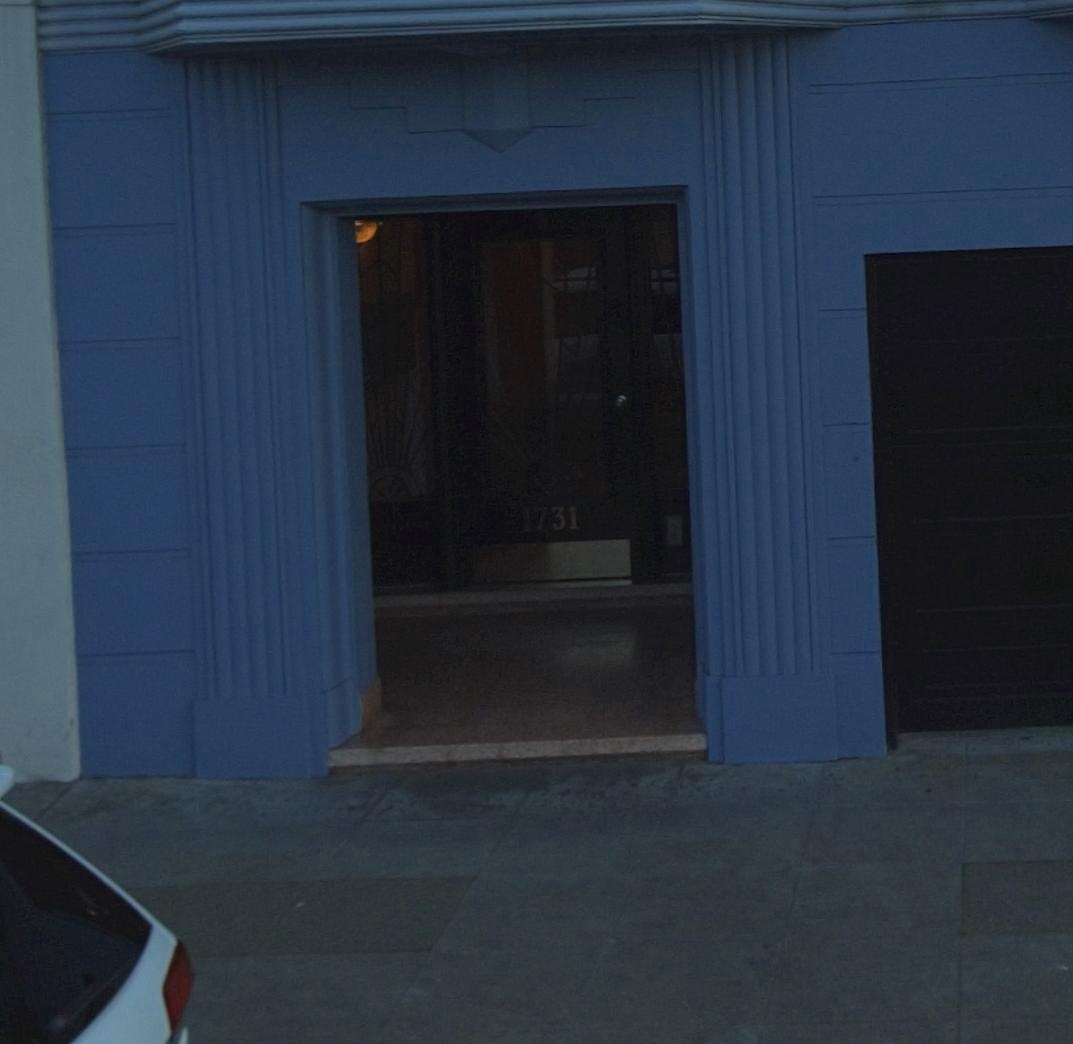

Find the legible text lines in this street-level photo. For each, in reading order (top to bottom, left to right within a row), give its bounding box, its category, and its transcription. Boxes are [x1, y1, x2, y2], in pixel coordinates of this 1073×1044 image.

[521, 502, 582, 534] StreetNumber: 1731